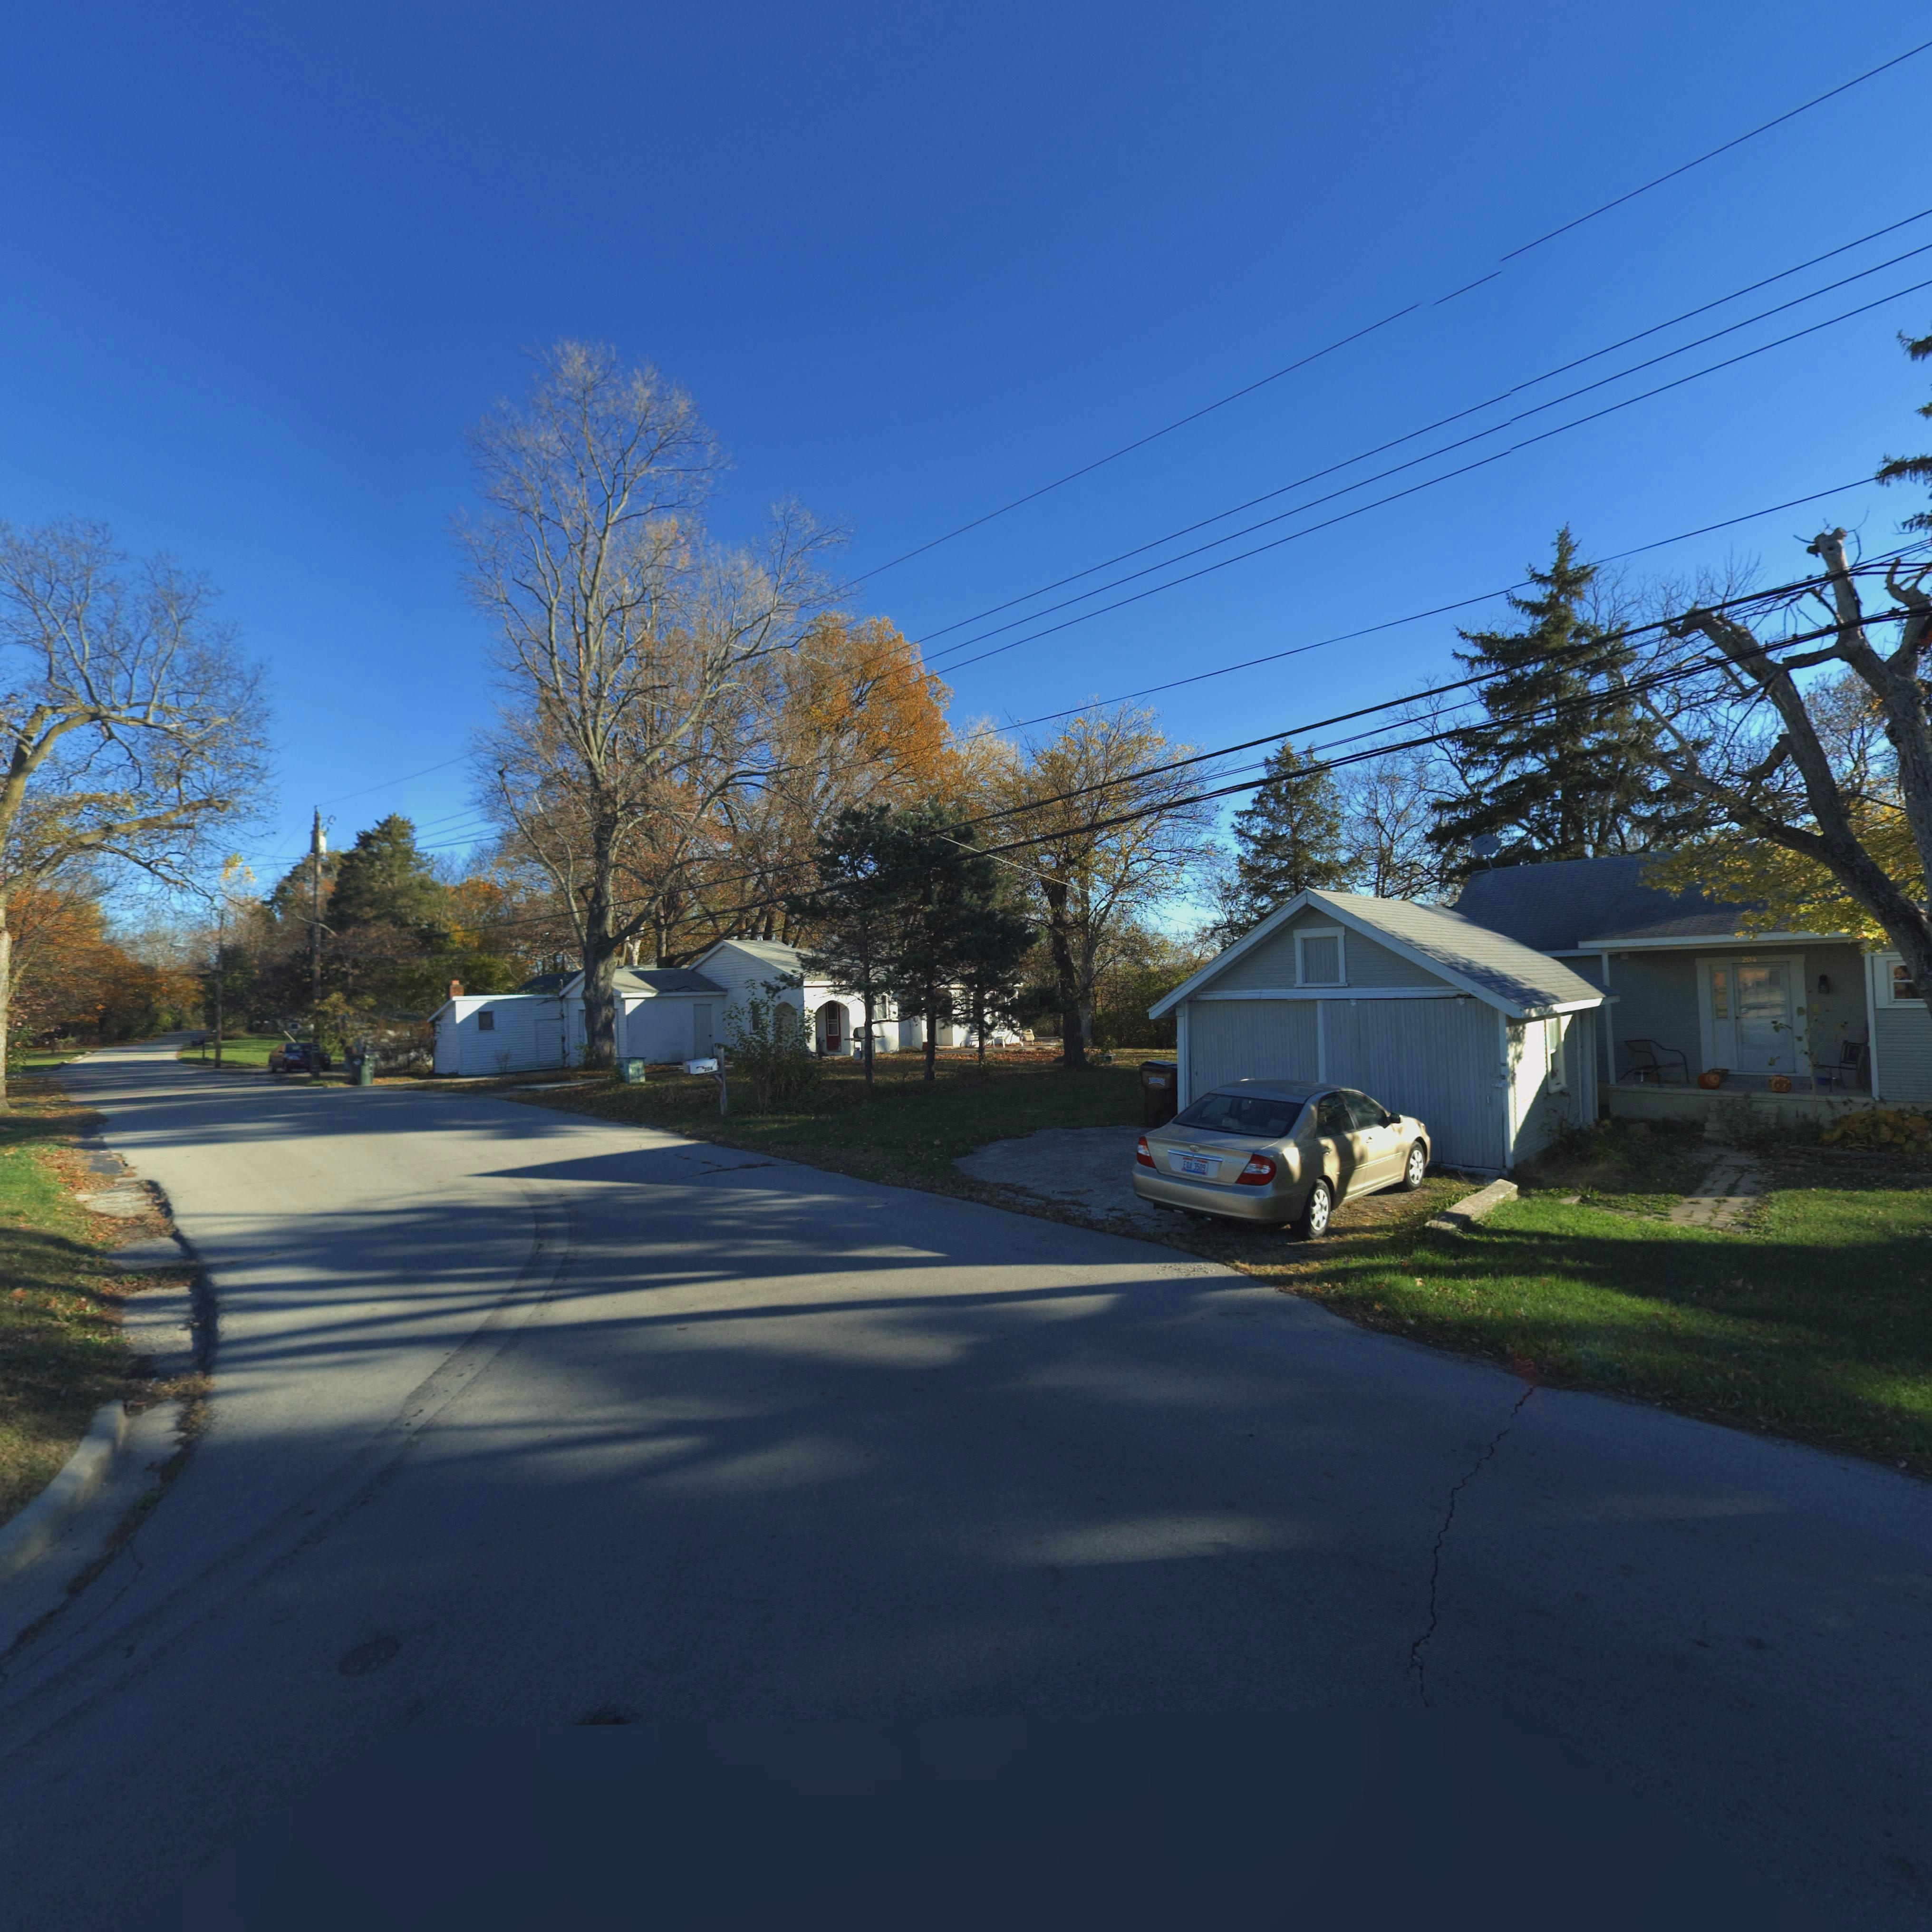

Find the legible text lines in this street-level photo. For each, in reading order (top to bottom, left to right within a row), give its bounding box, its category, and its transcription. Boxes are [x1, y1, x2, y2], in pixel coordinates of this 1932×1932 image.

[1741, 956, 1757, 963] StreetNumber: 204
[703, 1065, 713, 1072] StreetNumber: 204
[1182, 1160, 1206, 1173] None: EOA 3509